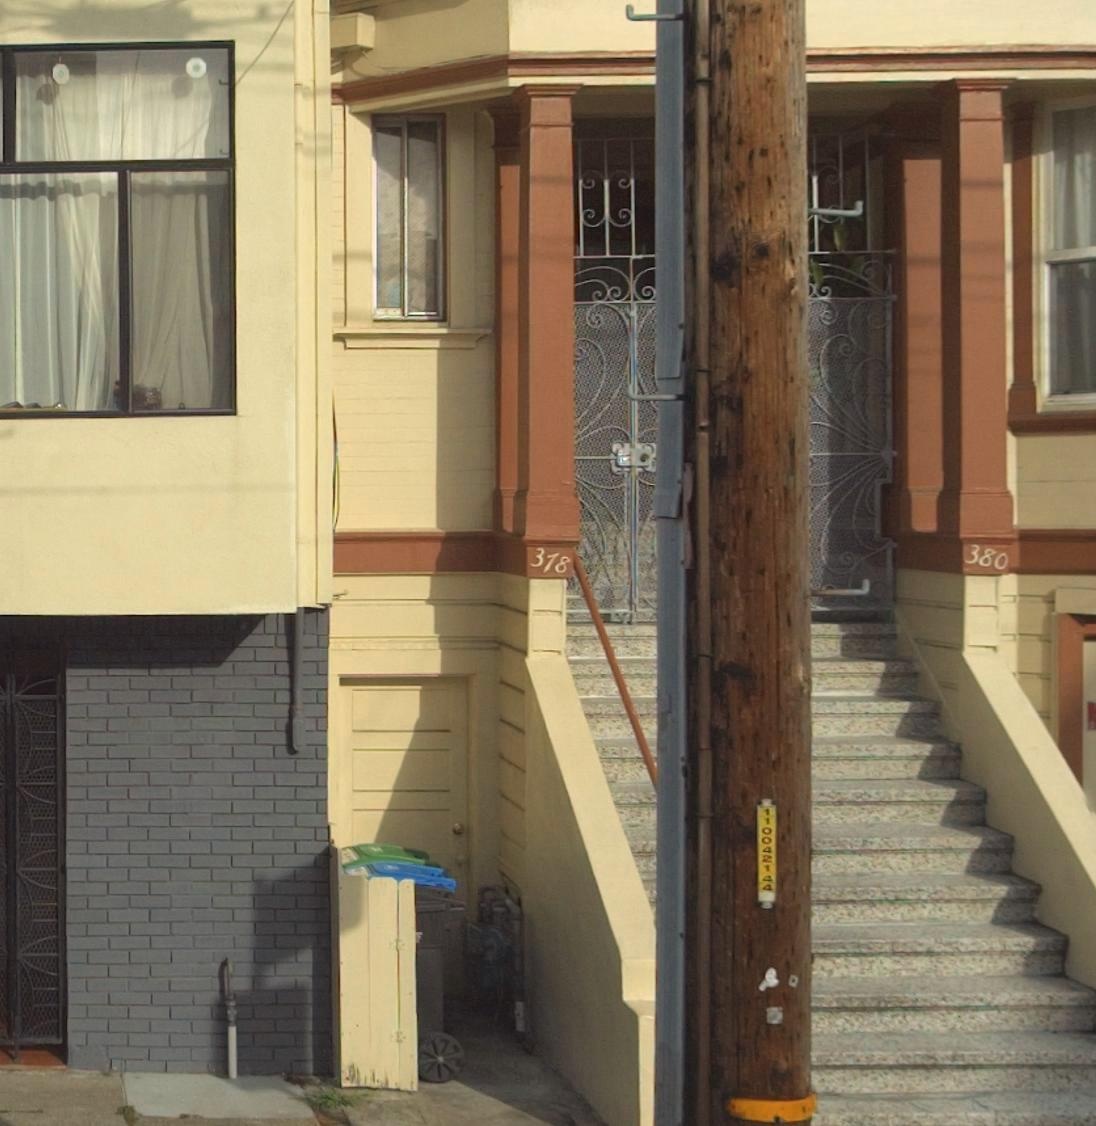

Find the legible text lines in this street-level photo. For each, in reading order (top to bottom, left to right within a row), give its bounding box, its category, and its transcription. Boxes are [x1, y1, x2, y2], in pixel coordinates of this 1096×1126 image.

[527, 546, 575, 576] StreetNumber: 378
[962, 541, 1011, 574] StreetNumber: 380
[759, 806, 775, 894] None: 110042144